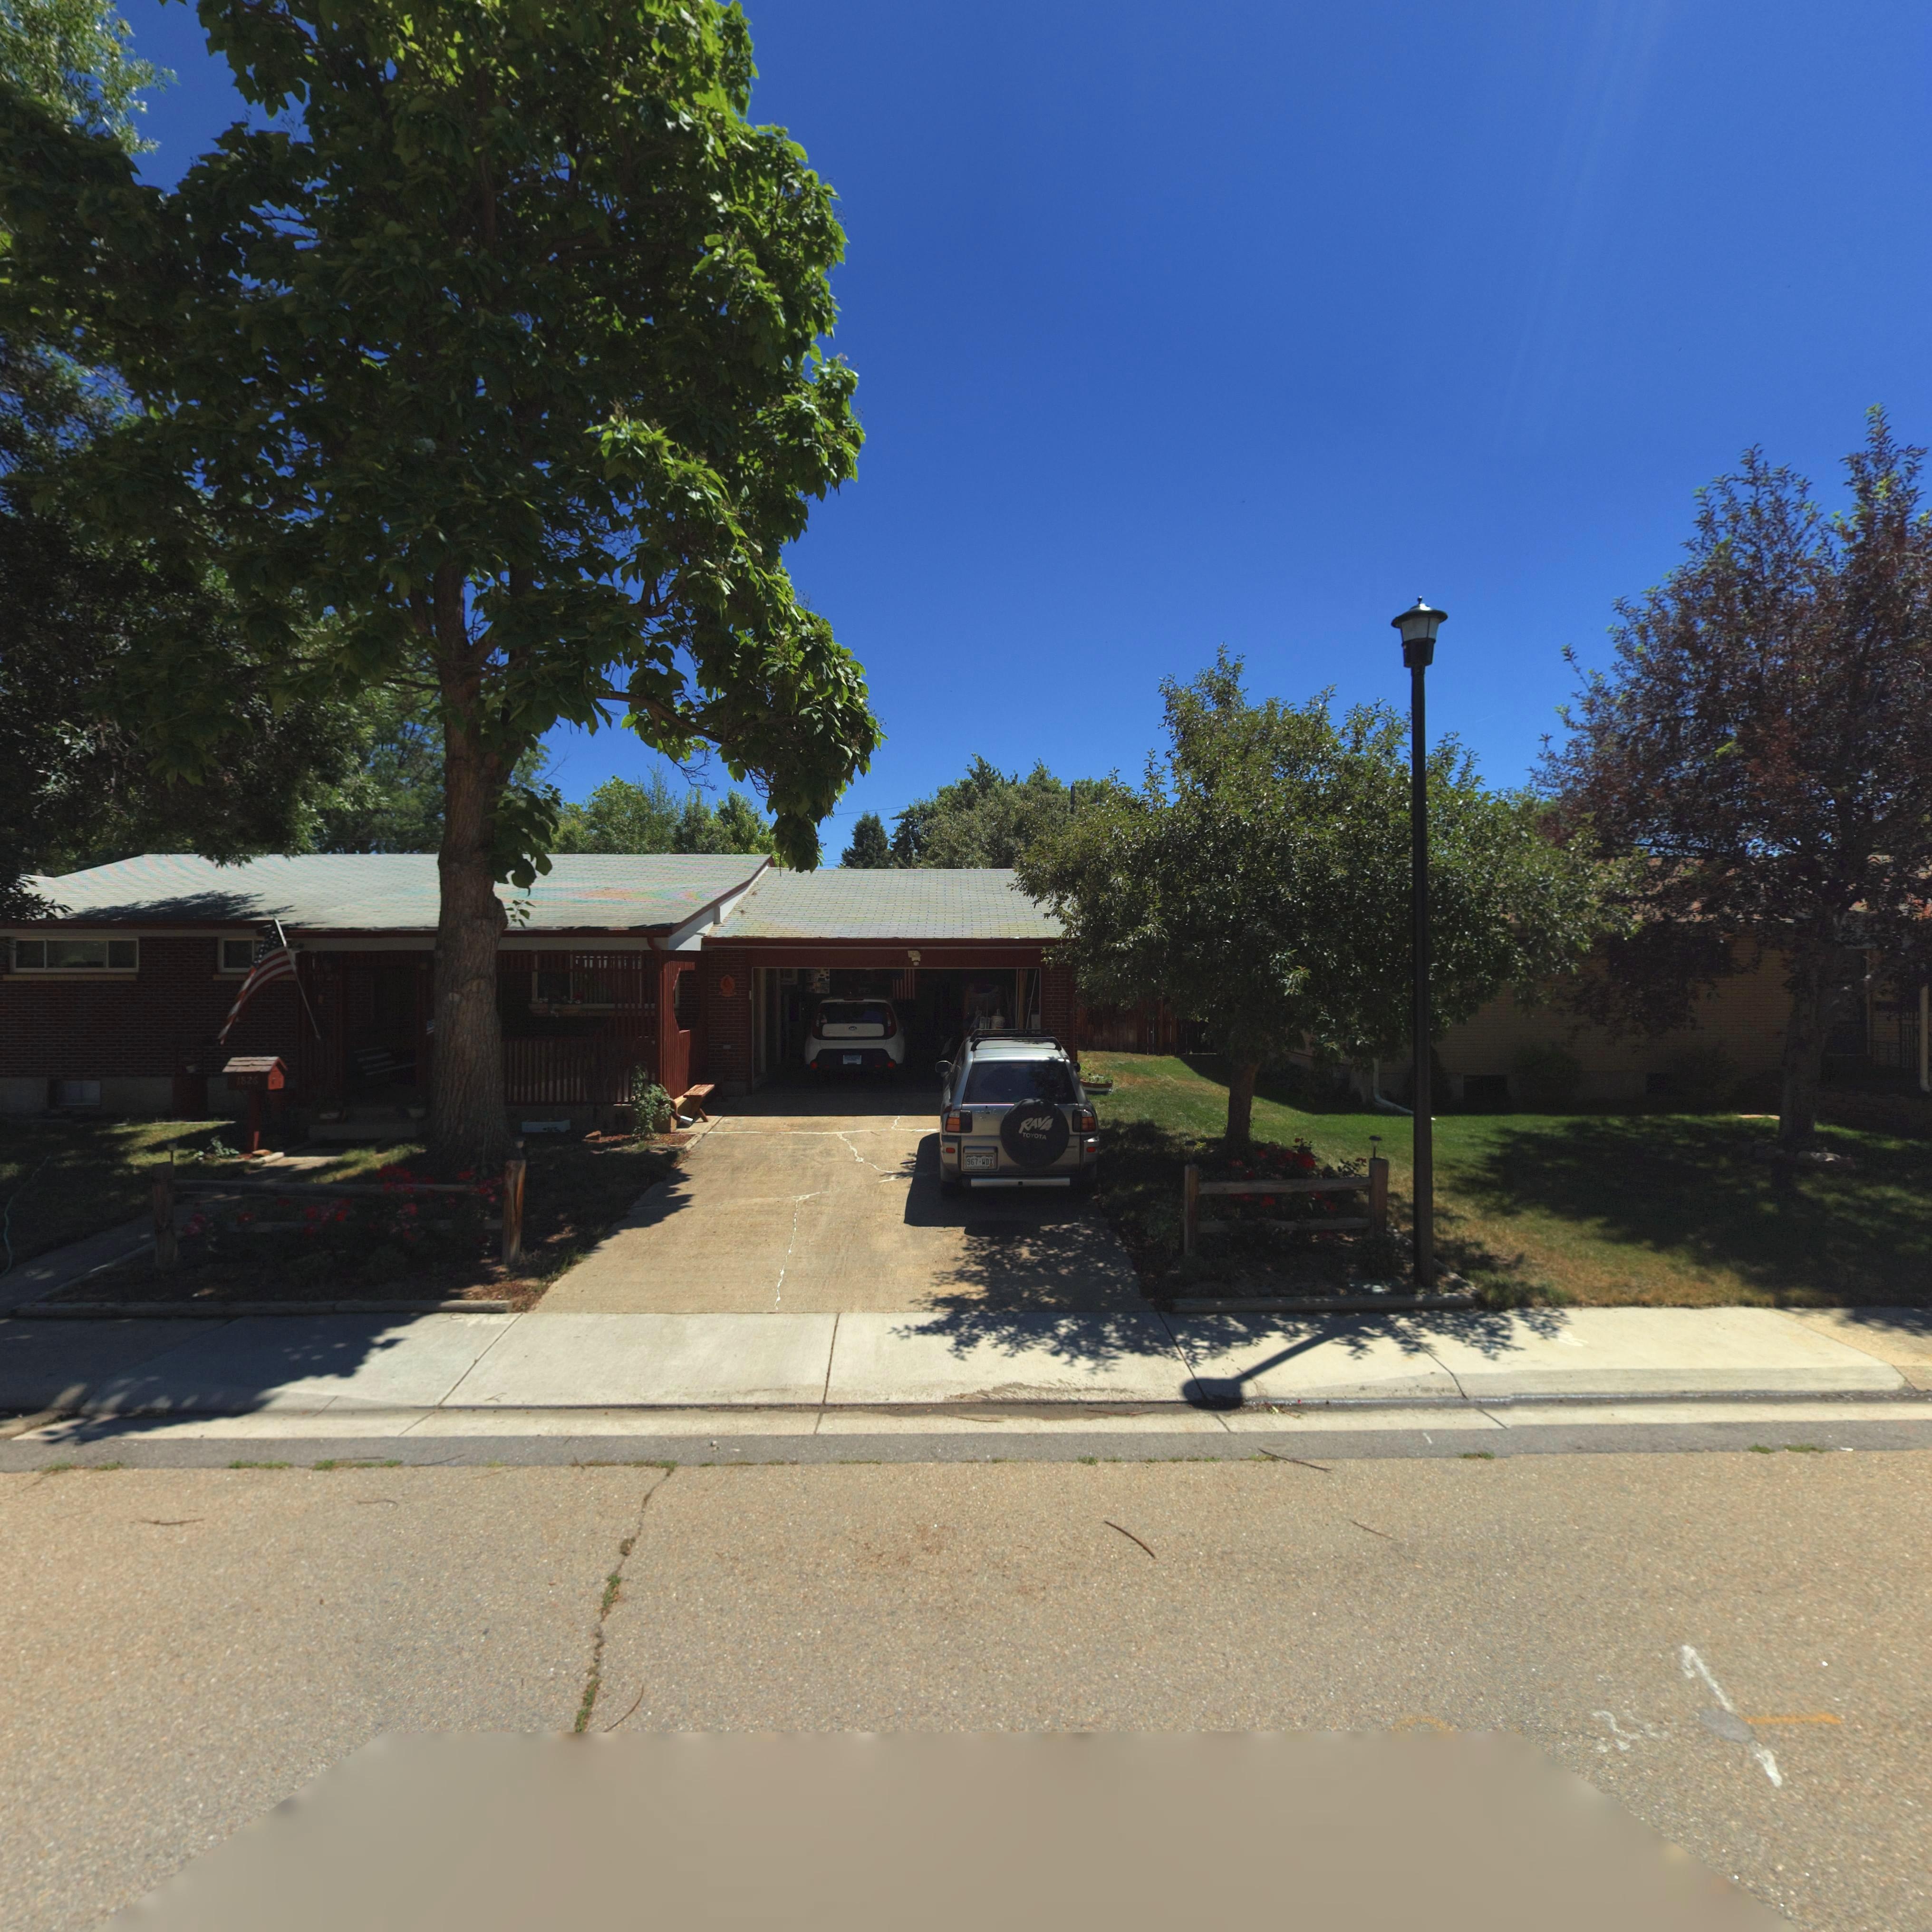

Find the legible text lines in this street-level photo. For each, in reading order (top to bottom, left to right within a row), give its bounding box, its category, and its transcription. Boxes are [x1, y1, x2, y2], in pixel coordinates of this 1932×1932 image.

[236, 1075, 259, 1086] StreetNumber: 1826